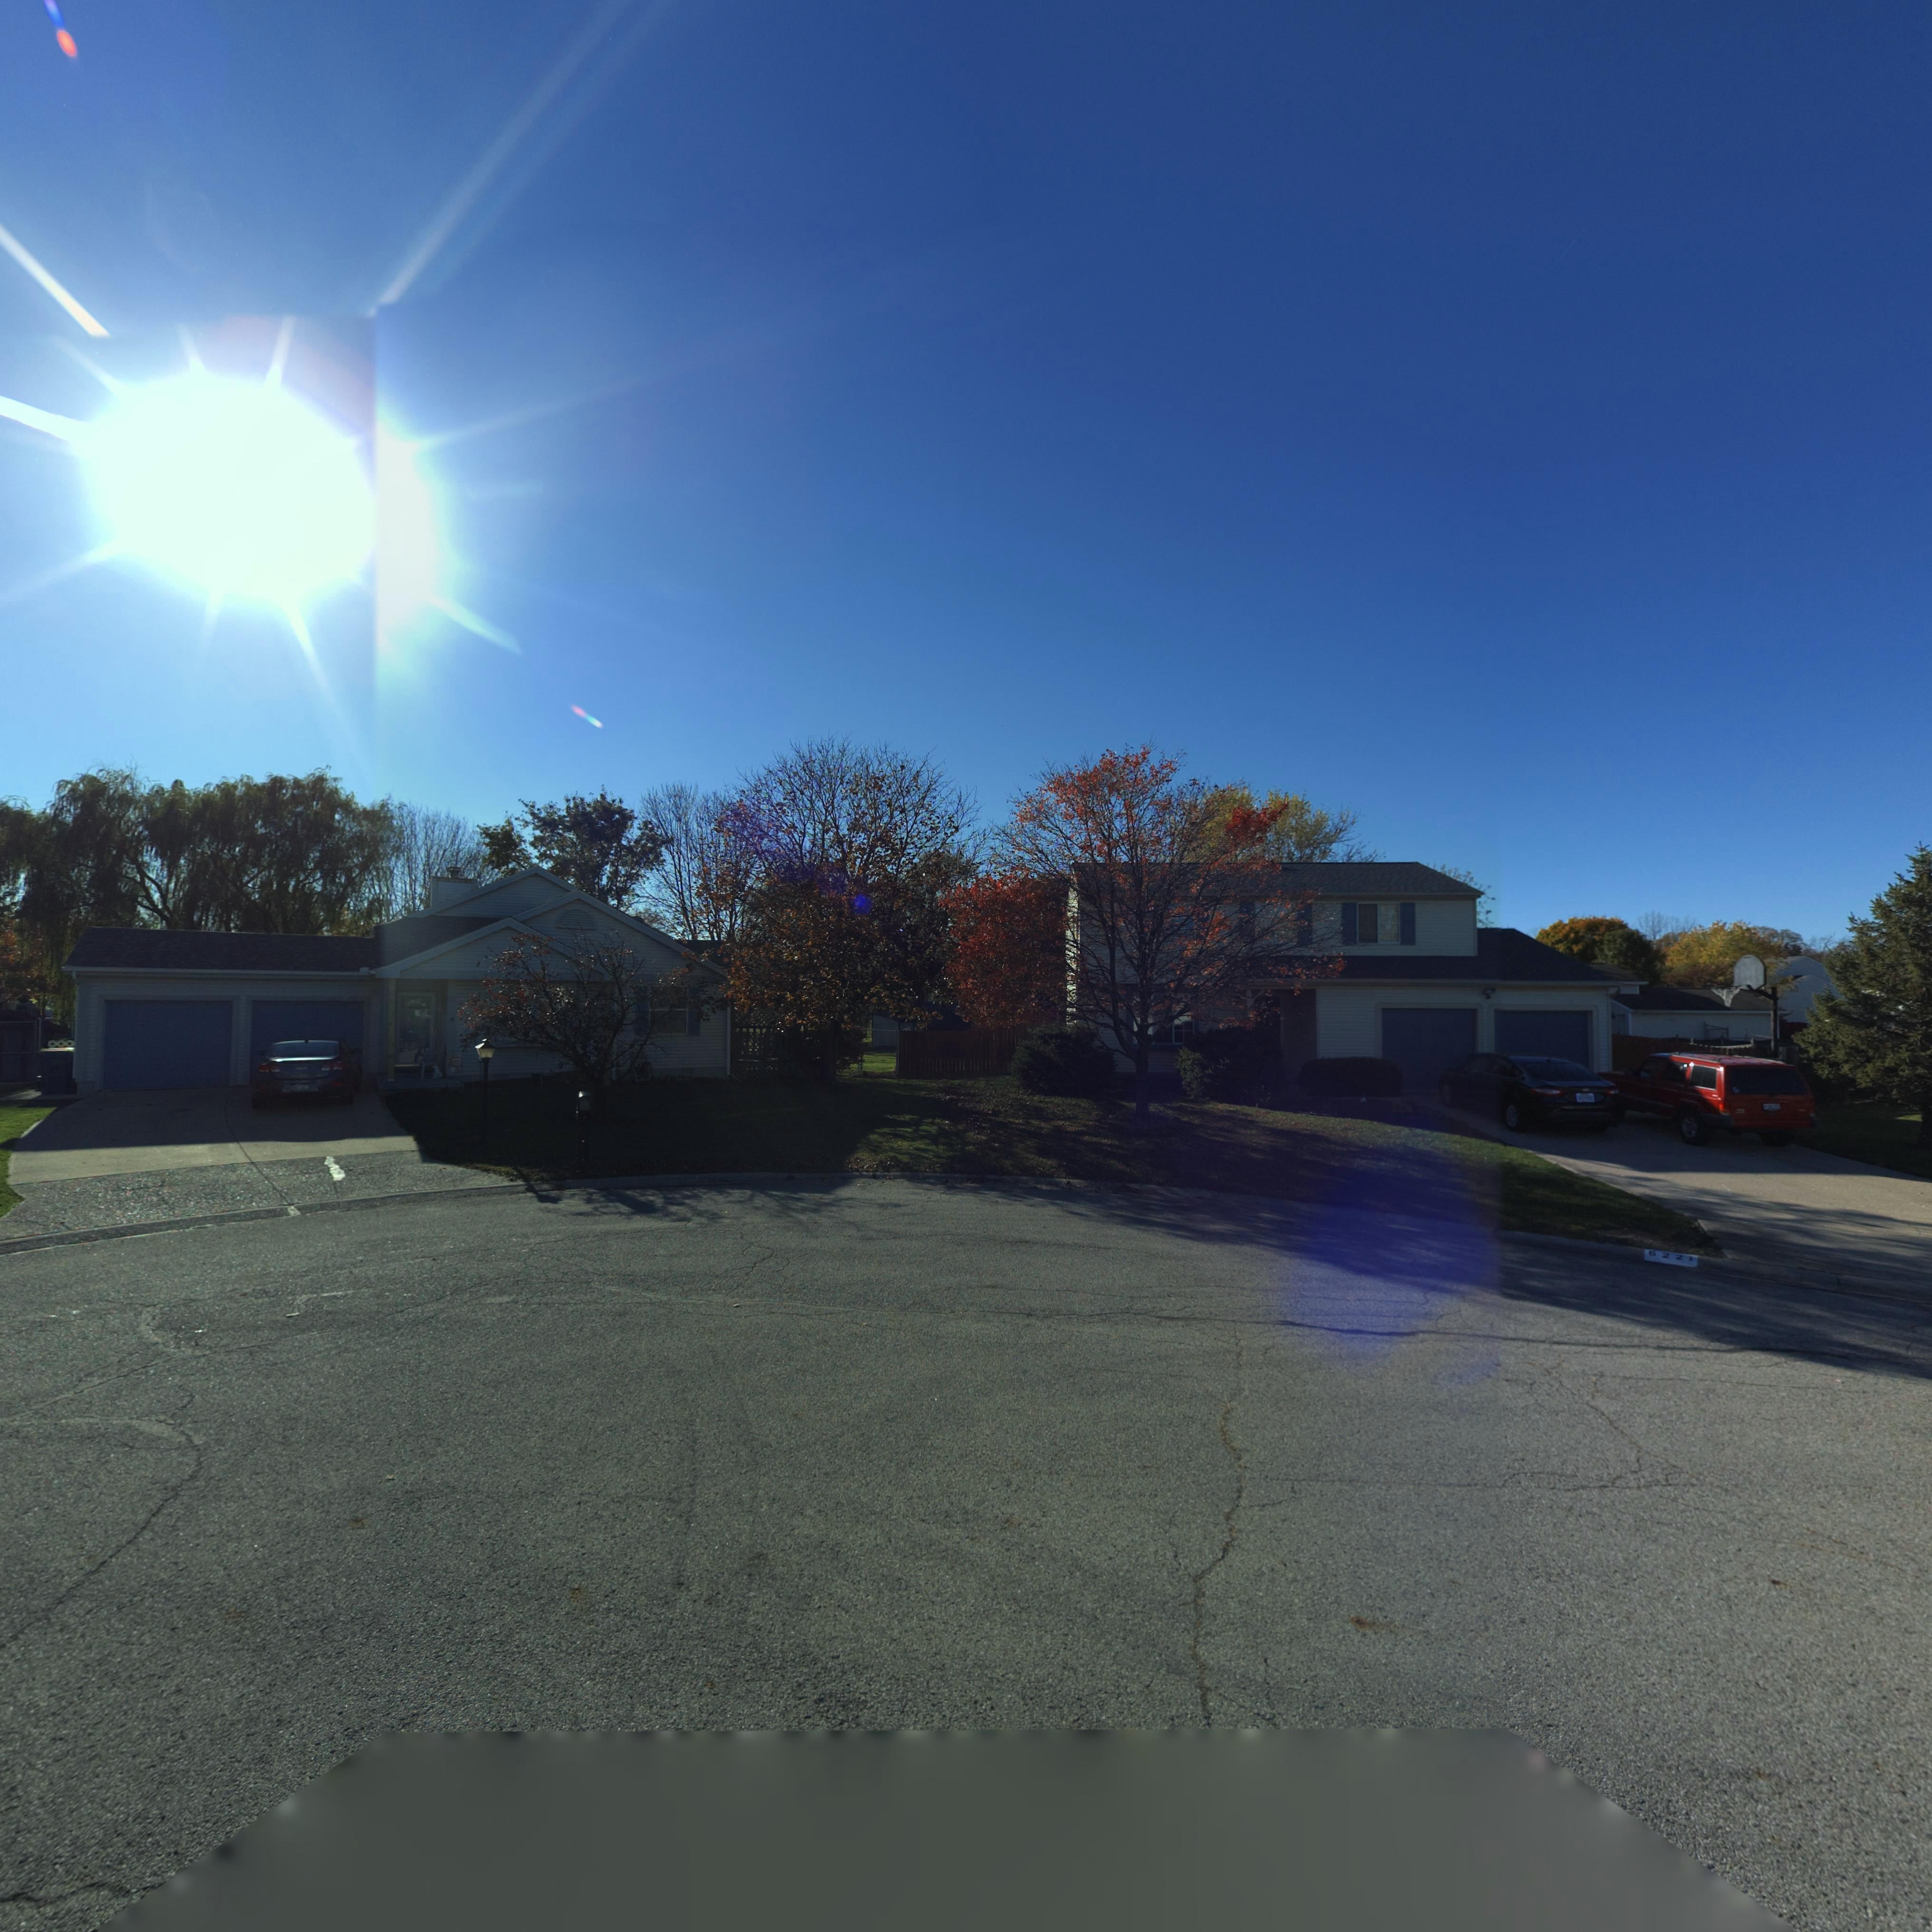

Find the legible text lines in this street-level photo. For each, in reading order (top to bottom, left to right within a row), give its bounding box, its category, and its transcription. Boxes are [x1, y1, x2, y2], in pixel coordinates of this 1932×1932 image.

[1646, 1249, 1694, 1263] StreetNumber: *22*